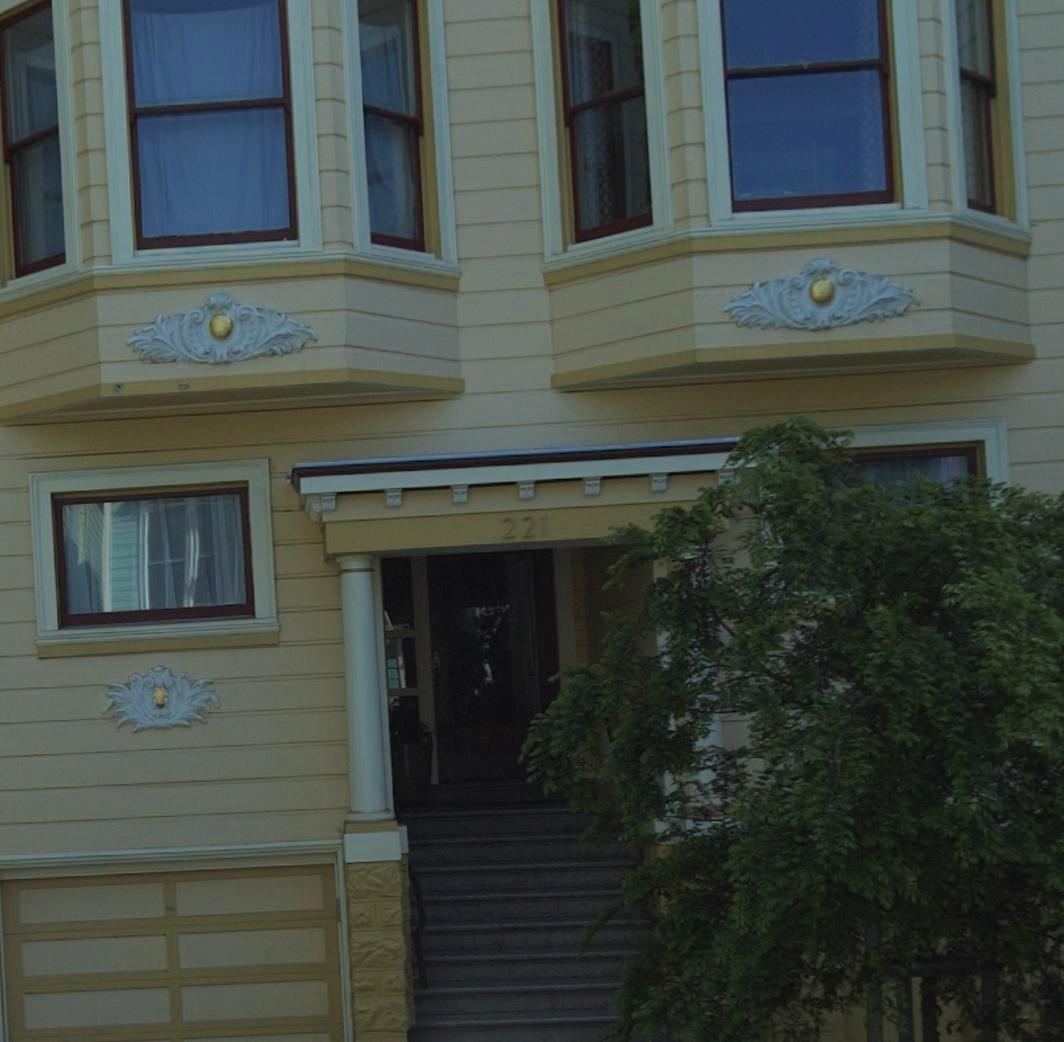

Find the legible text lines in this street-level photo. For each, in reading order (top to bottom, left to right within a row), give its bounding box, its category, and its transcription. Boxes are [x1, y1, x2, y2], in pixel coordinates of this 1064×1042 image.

[500, 512, 550, 542] StreetNumber: 221